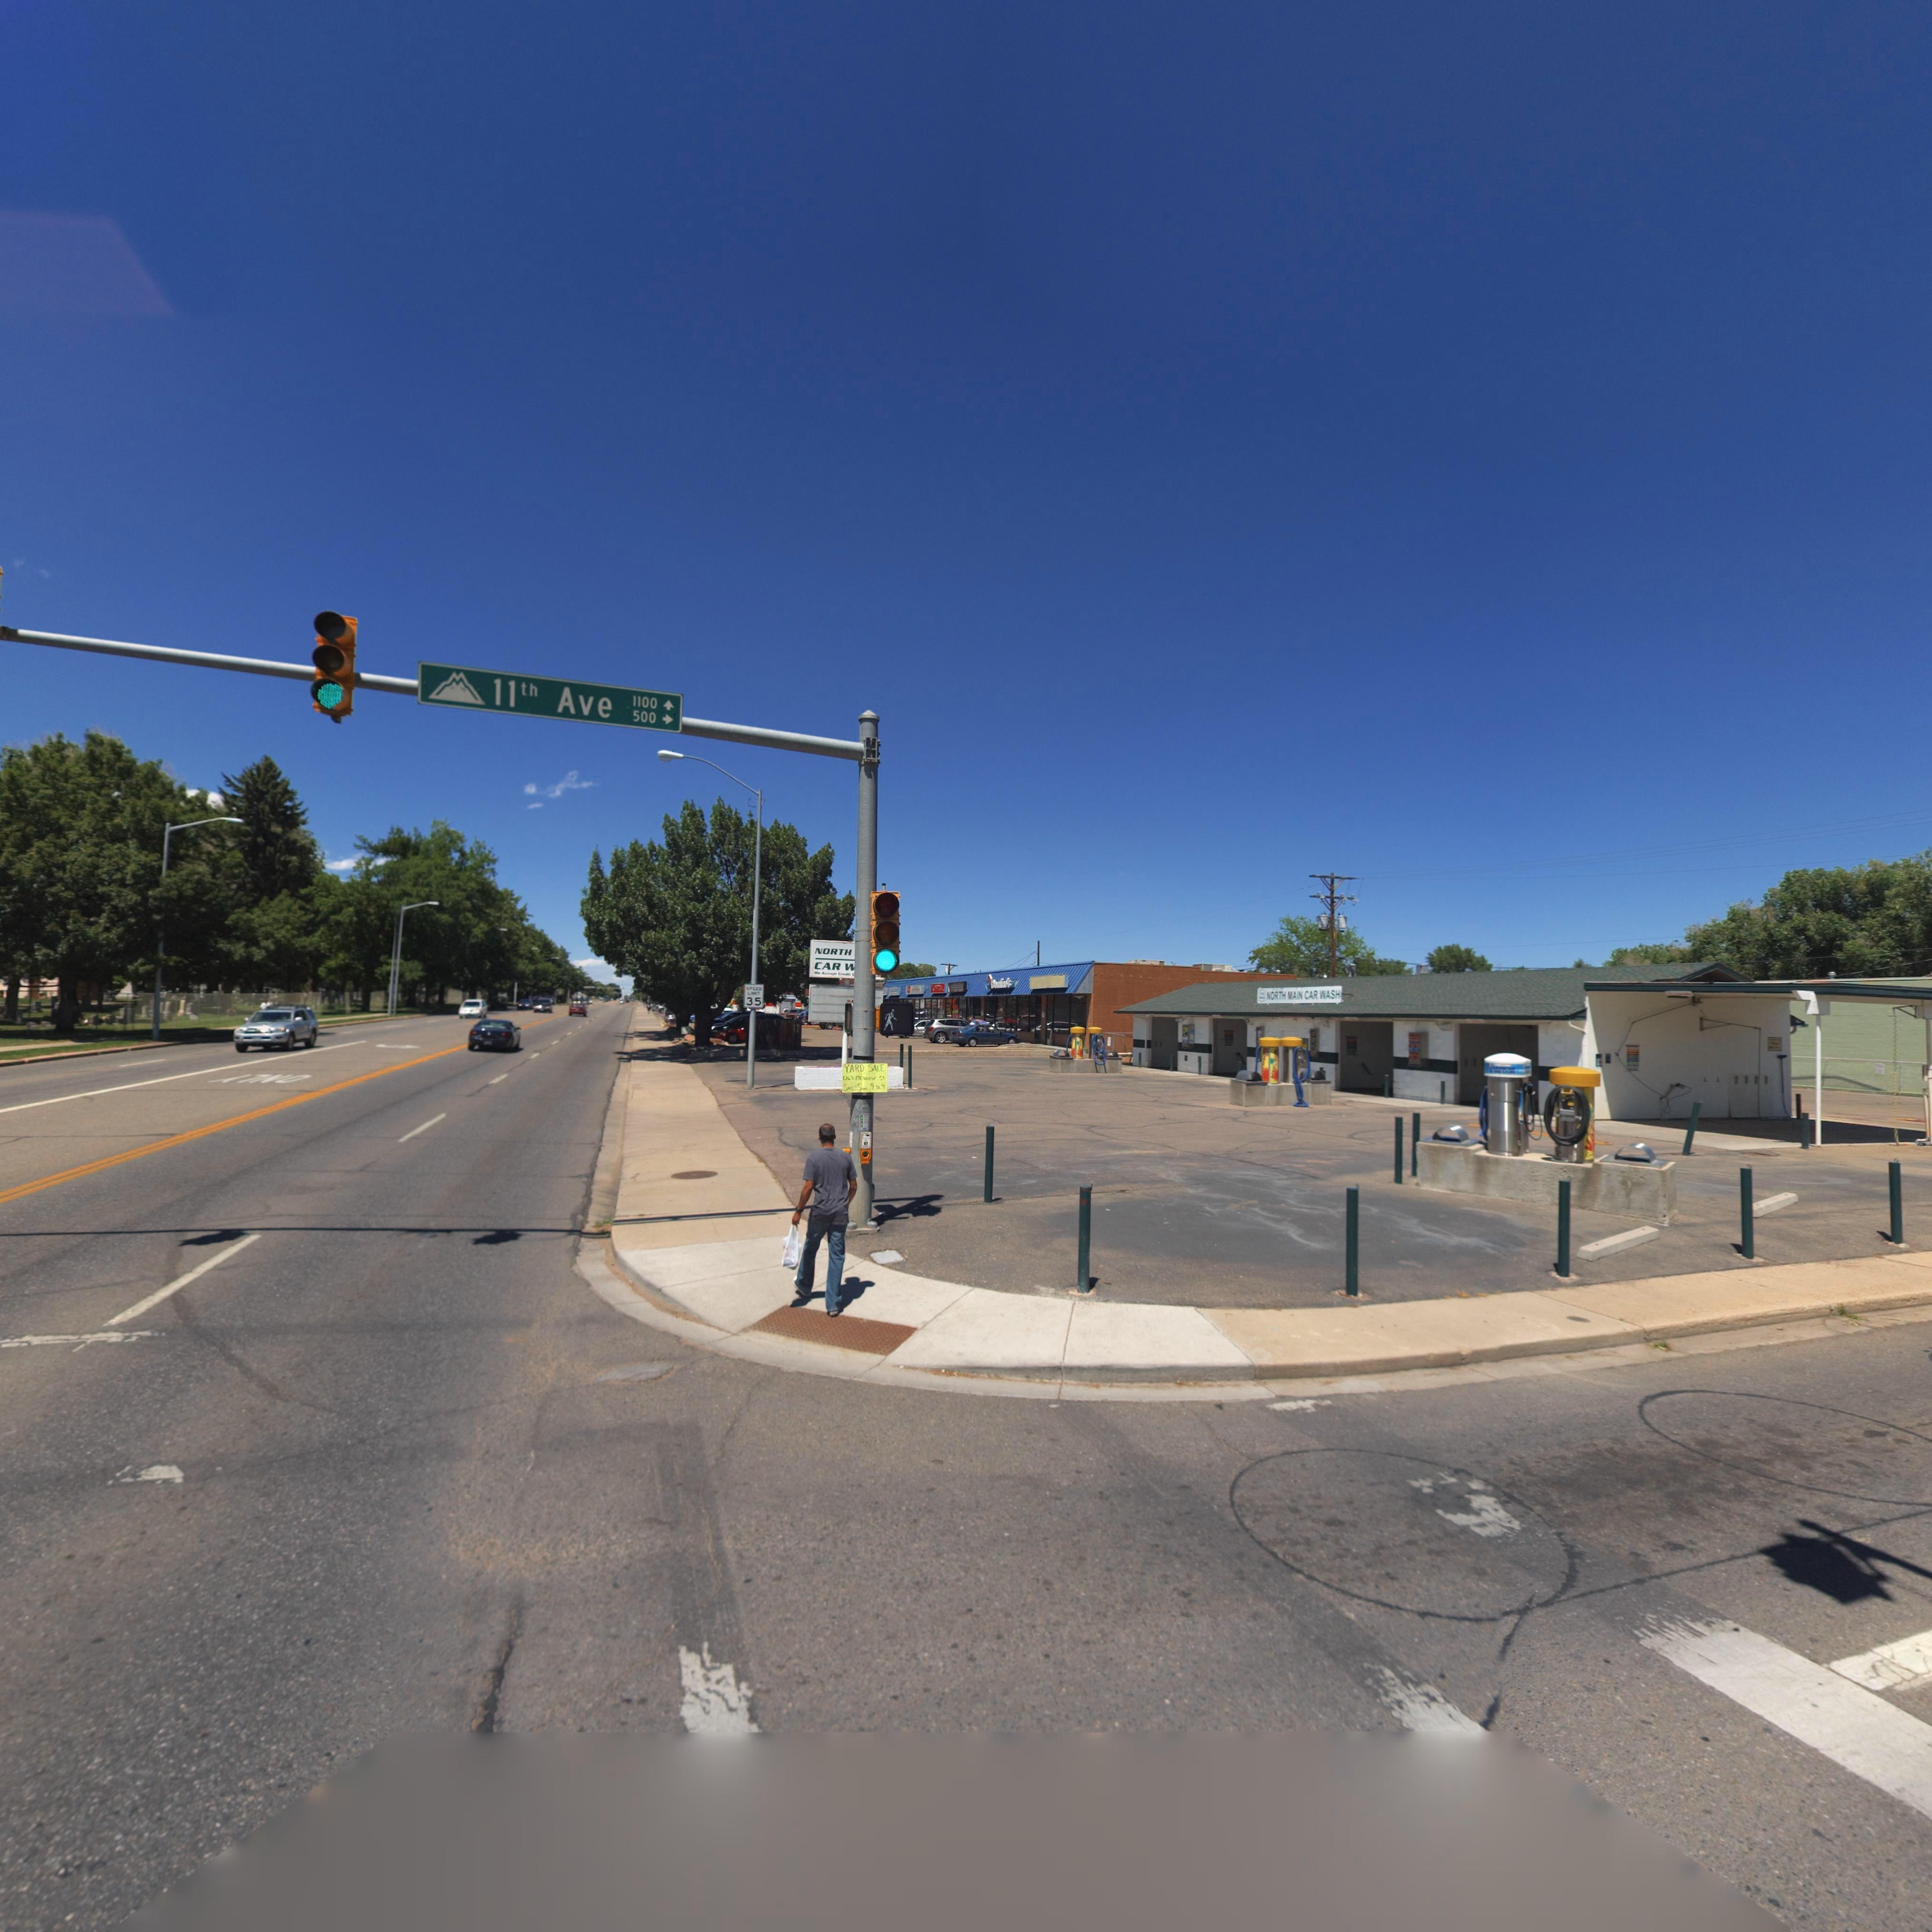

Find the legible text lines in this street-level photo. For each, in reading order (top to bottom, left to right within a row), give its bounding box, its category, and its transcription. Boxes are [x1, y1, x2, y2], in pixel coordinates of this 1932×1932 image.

[493, 677, 614, 718] StreetName: 11th Ave
[632, 695, 657, 710] StreetNumberRange: 1100
[632, 710, 674, 725] StreetNumberRange: 500->
[813, 947, 854, 956] BusinessName: NORTH
[813, 961, 856, 971] BusinessName: CAR W***
[990, 977, 1012, 989] BusinessName: Do****'s
[1266, 989, 1341, 1000] BusinessName: NORTH MAIN CAR WASH